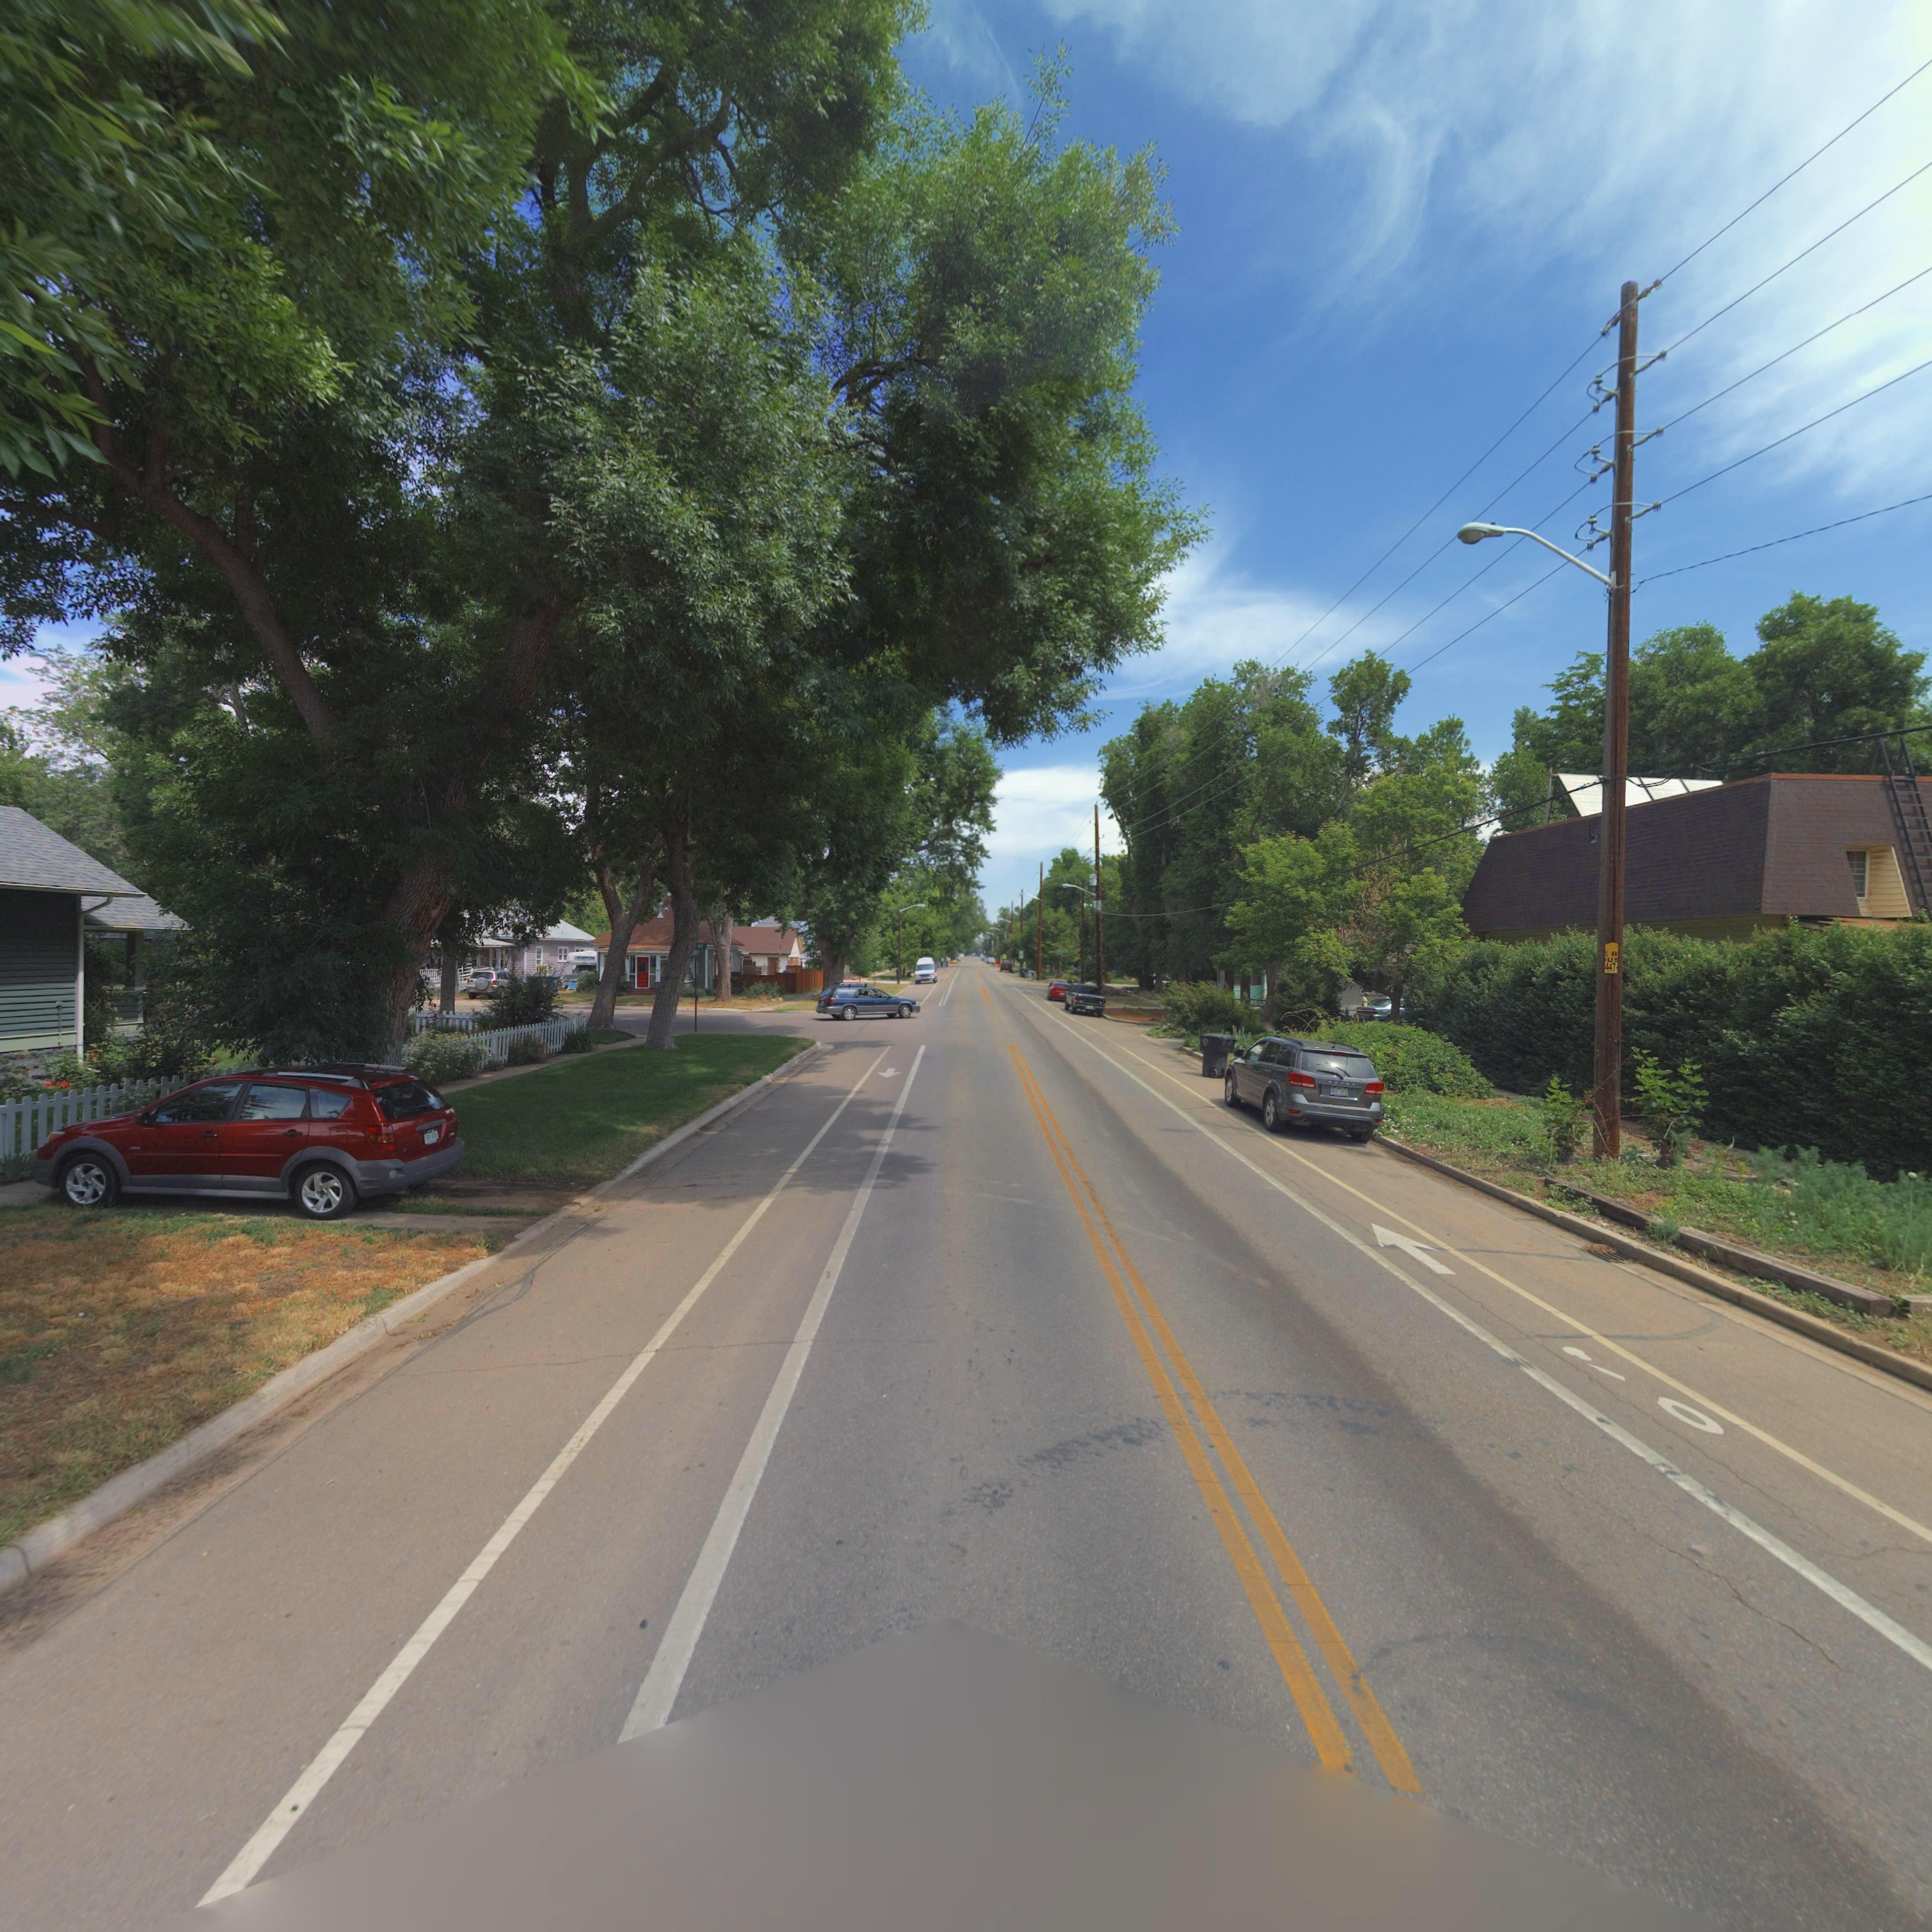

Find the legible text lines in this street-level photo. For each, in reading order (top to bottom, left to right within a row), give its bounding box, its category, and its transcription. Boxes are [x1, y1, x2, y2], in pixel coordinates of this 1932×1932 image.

[697, 943, 704, 948] StreetName: AV